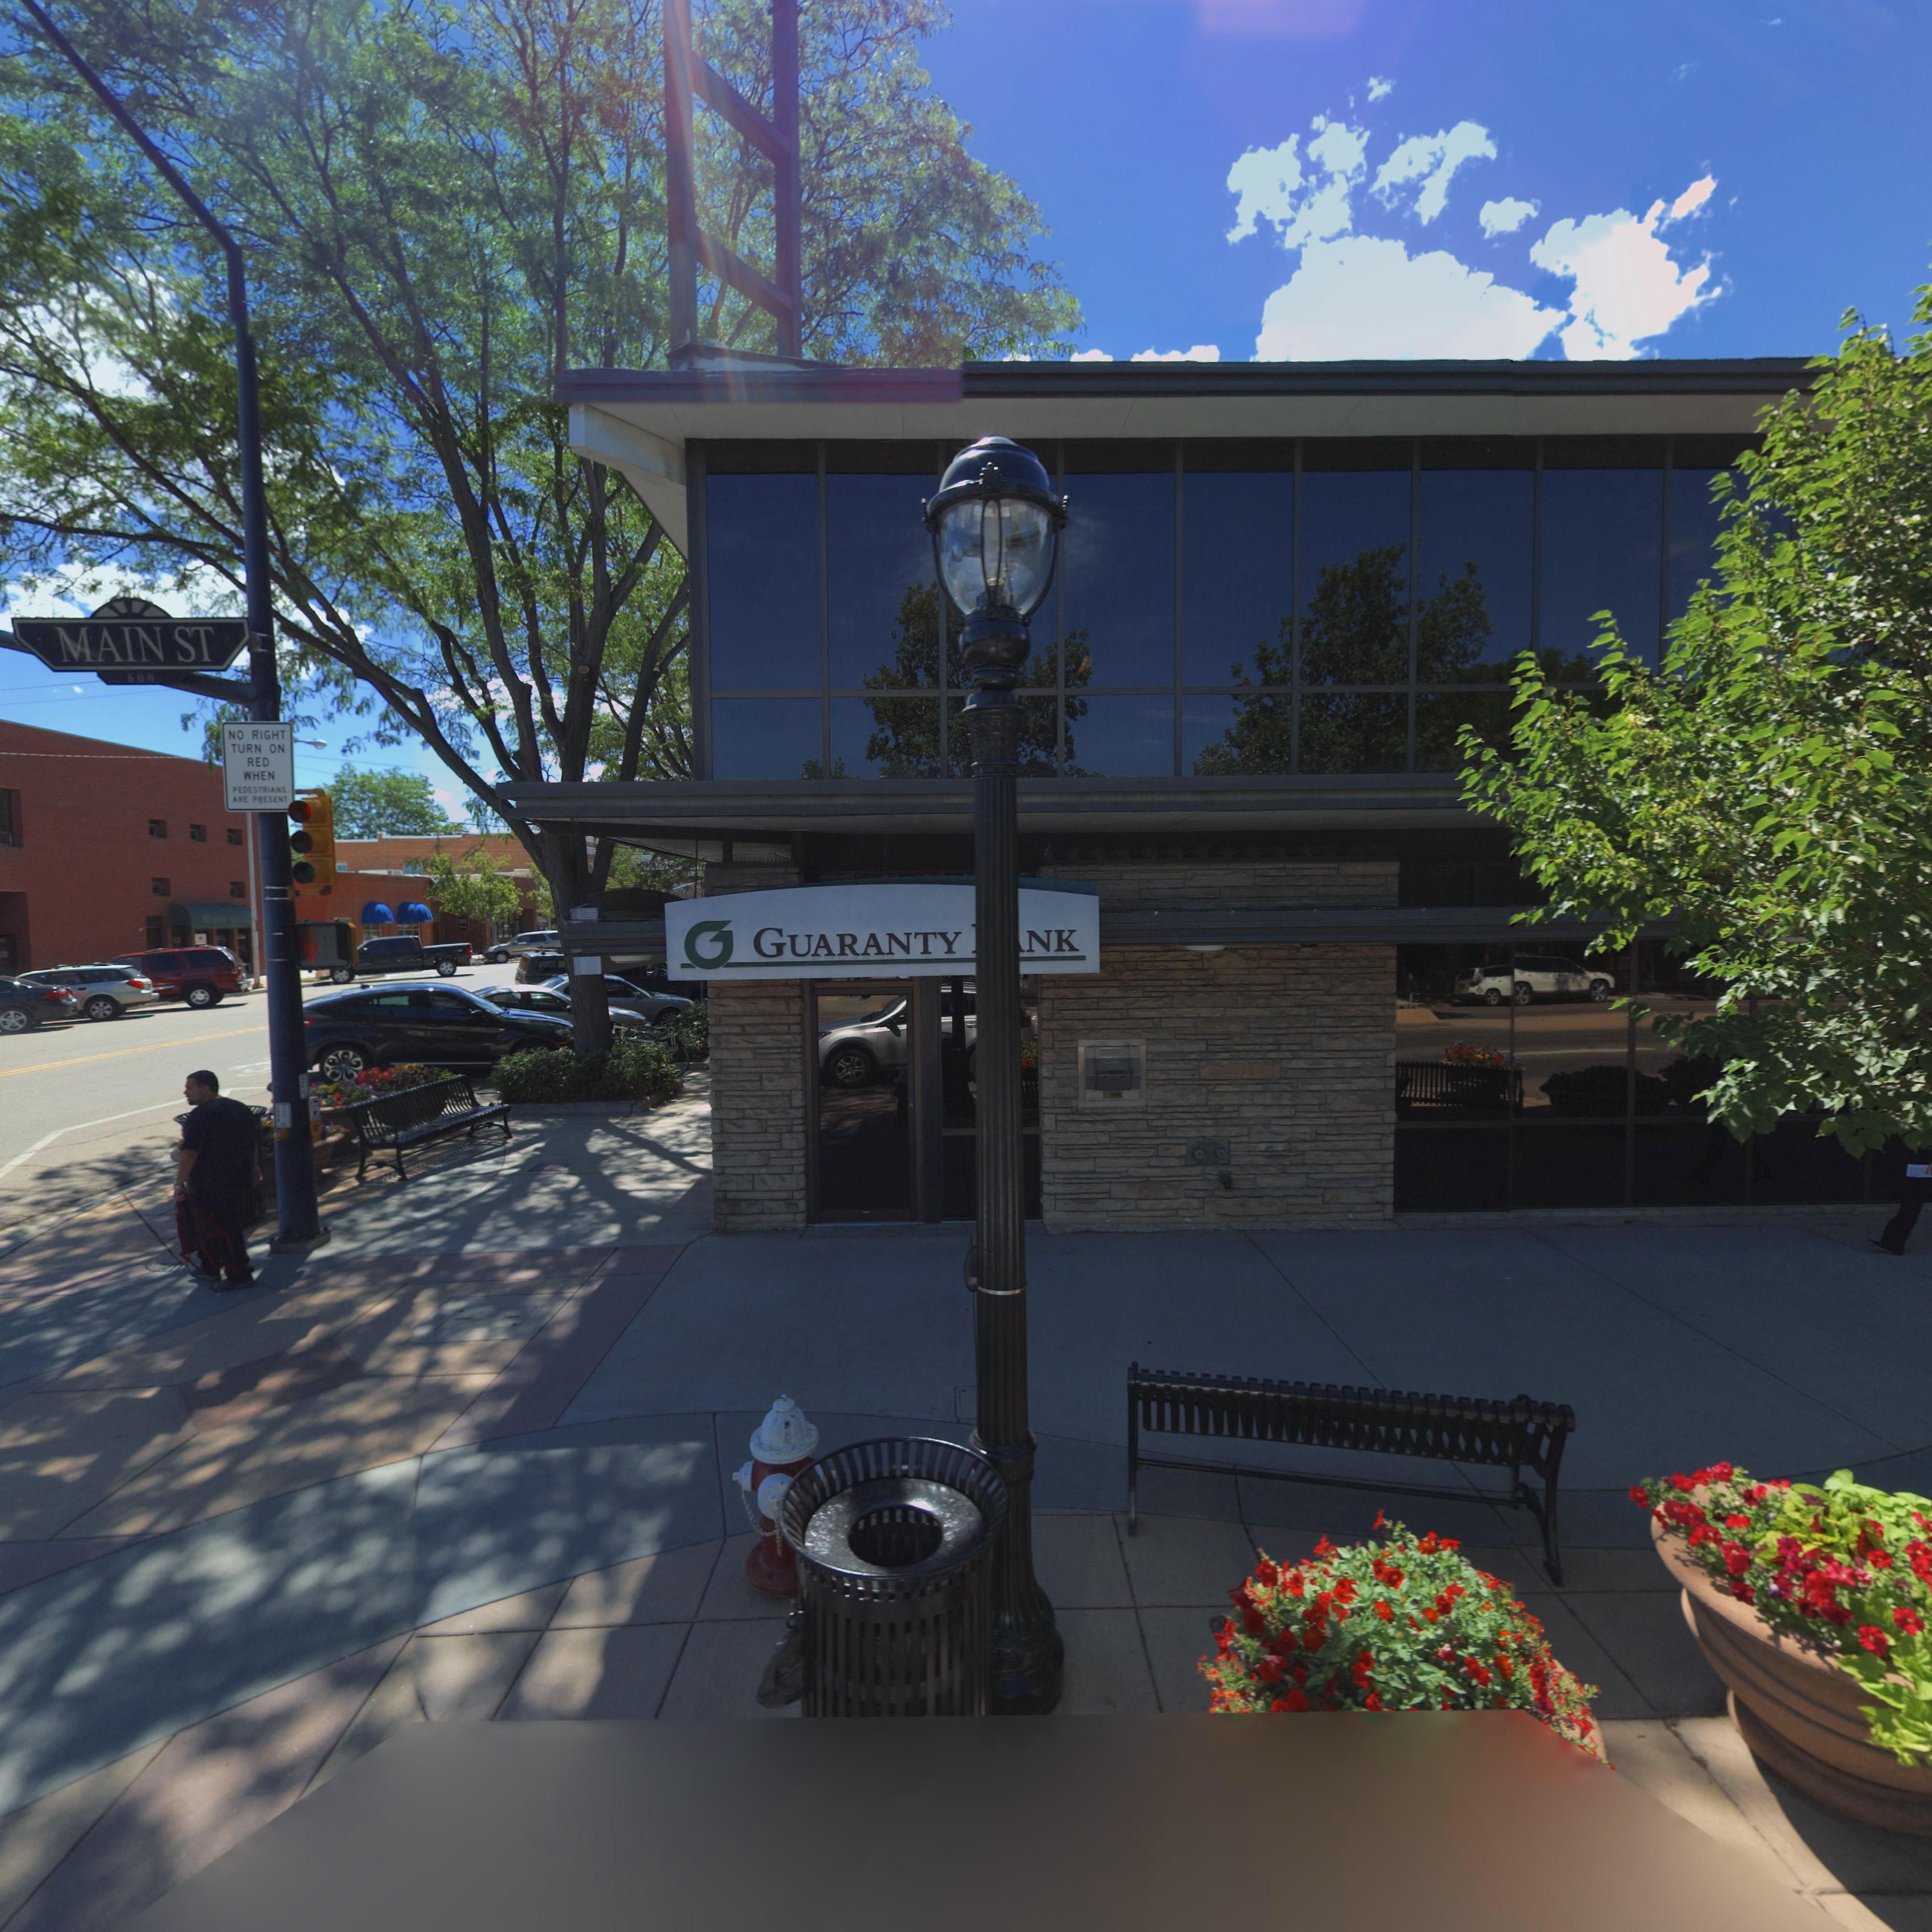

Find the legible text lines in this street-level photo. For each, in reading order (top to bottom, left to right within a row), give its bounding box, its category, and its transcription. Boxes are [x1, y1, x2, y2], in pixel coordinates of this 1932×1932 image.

[55, 625, 215, 663] StreetName: MAIN ST
[127, 672, 155, 684] StreetNumberRange: 600
[752, 922, 1082, 958] BusinessName: GUARANTY **NK